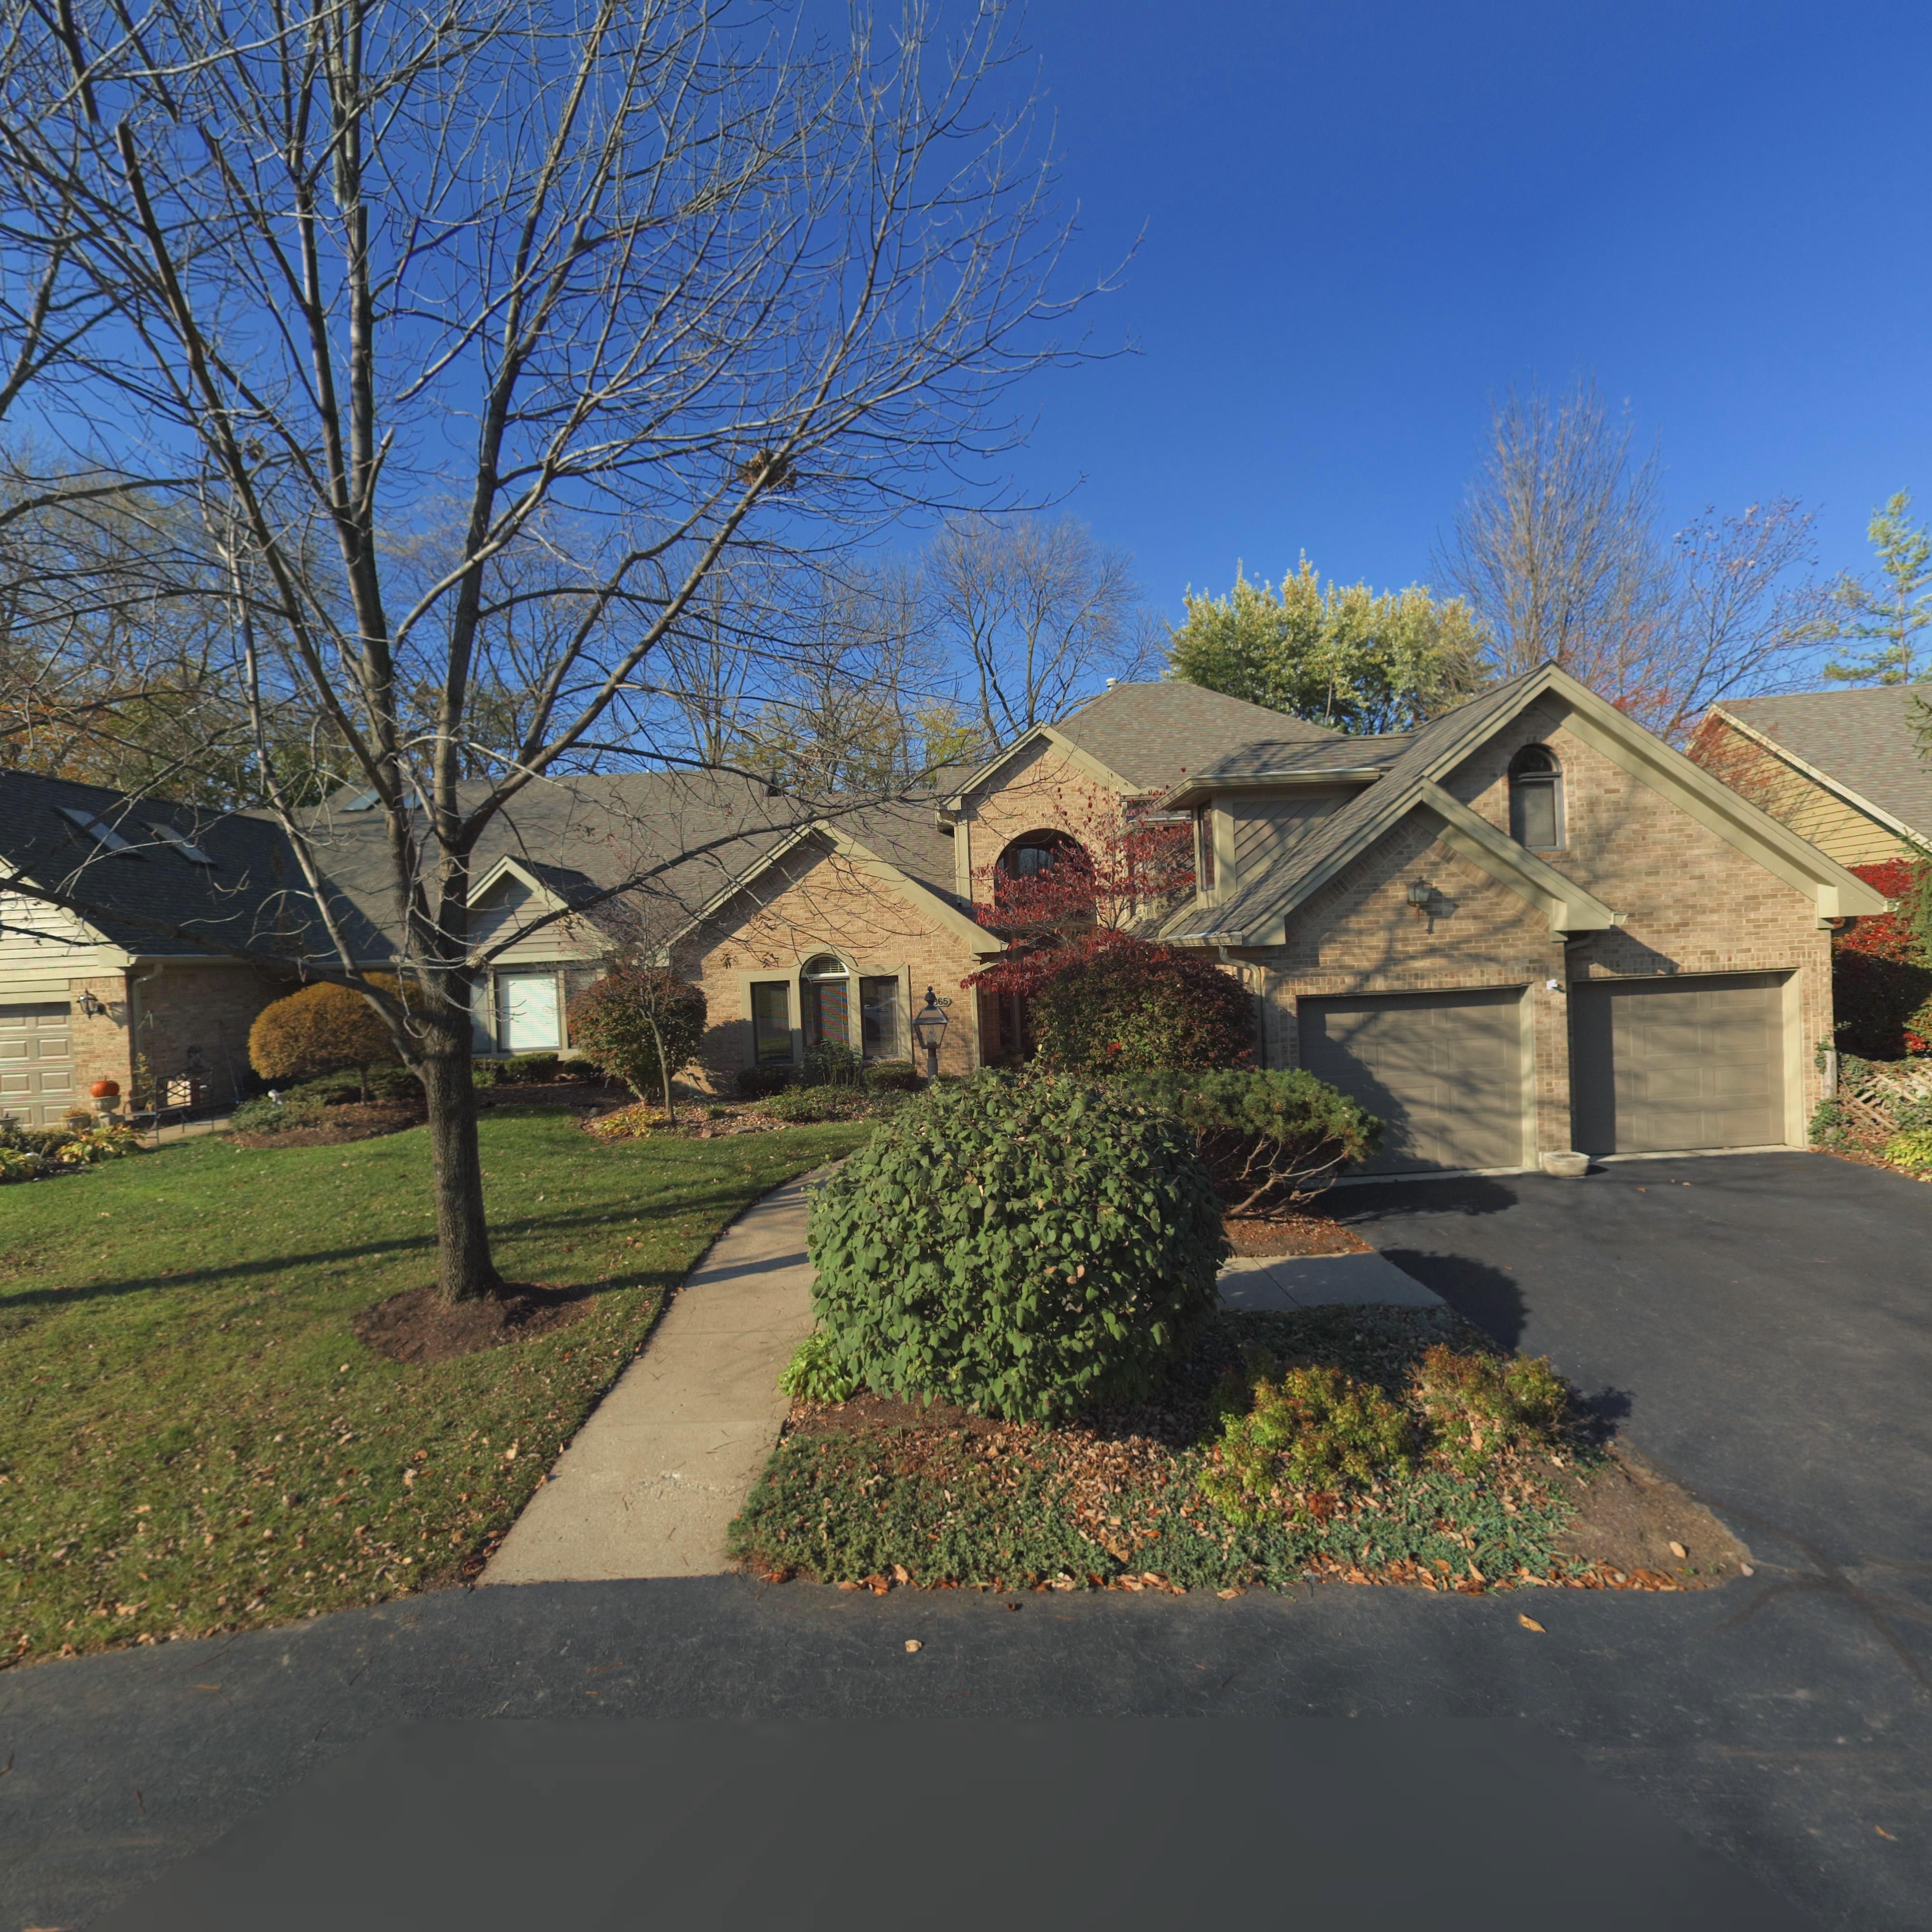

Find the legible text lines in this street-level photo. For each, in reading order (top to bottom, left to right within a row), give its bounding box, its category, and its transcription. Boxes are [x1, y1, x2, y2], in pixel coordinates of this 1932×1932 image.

[932, 997, 948, 1005] StreetNumber: 865